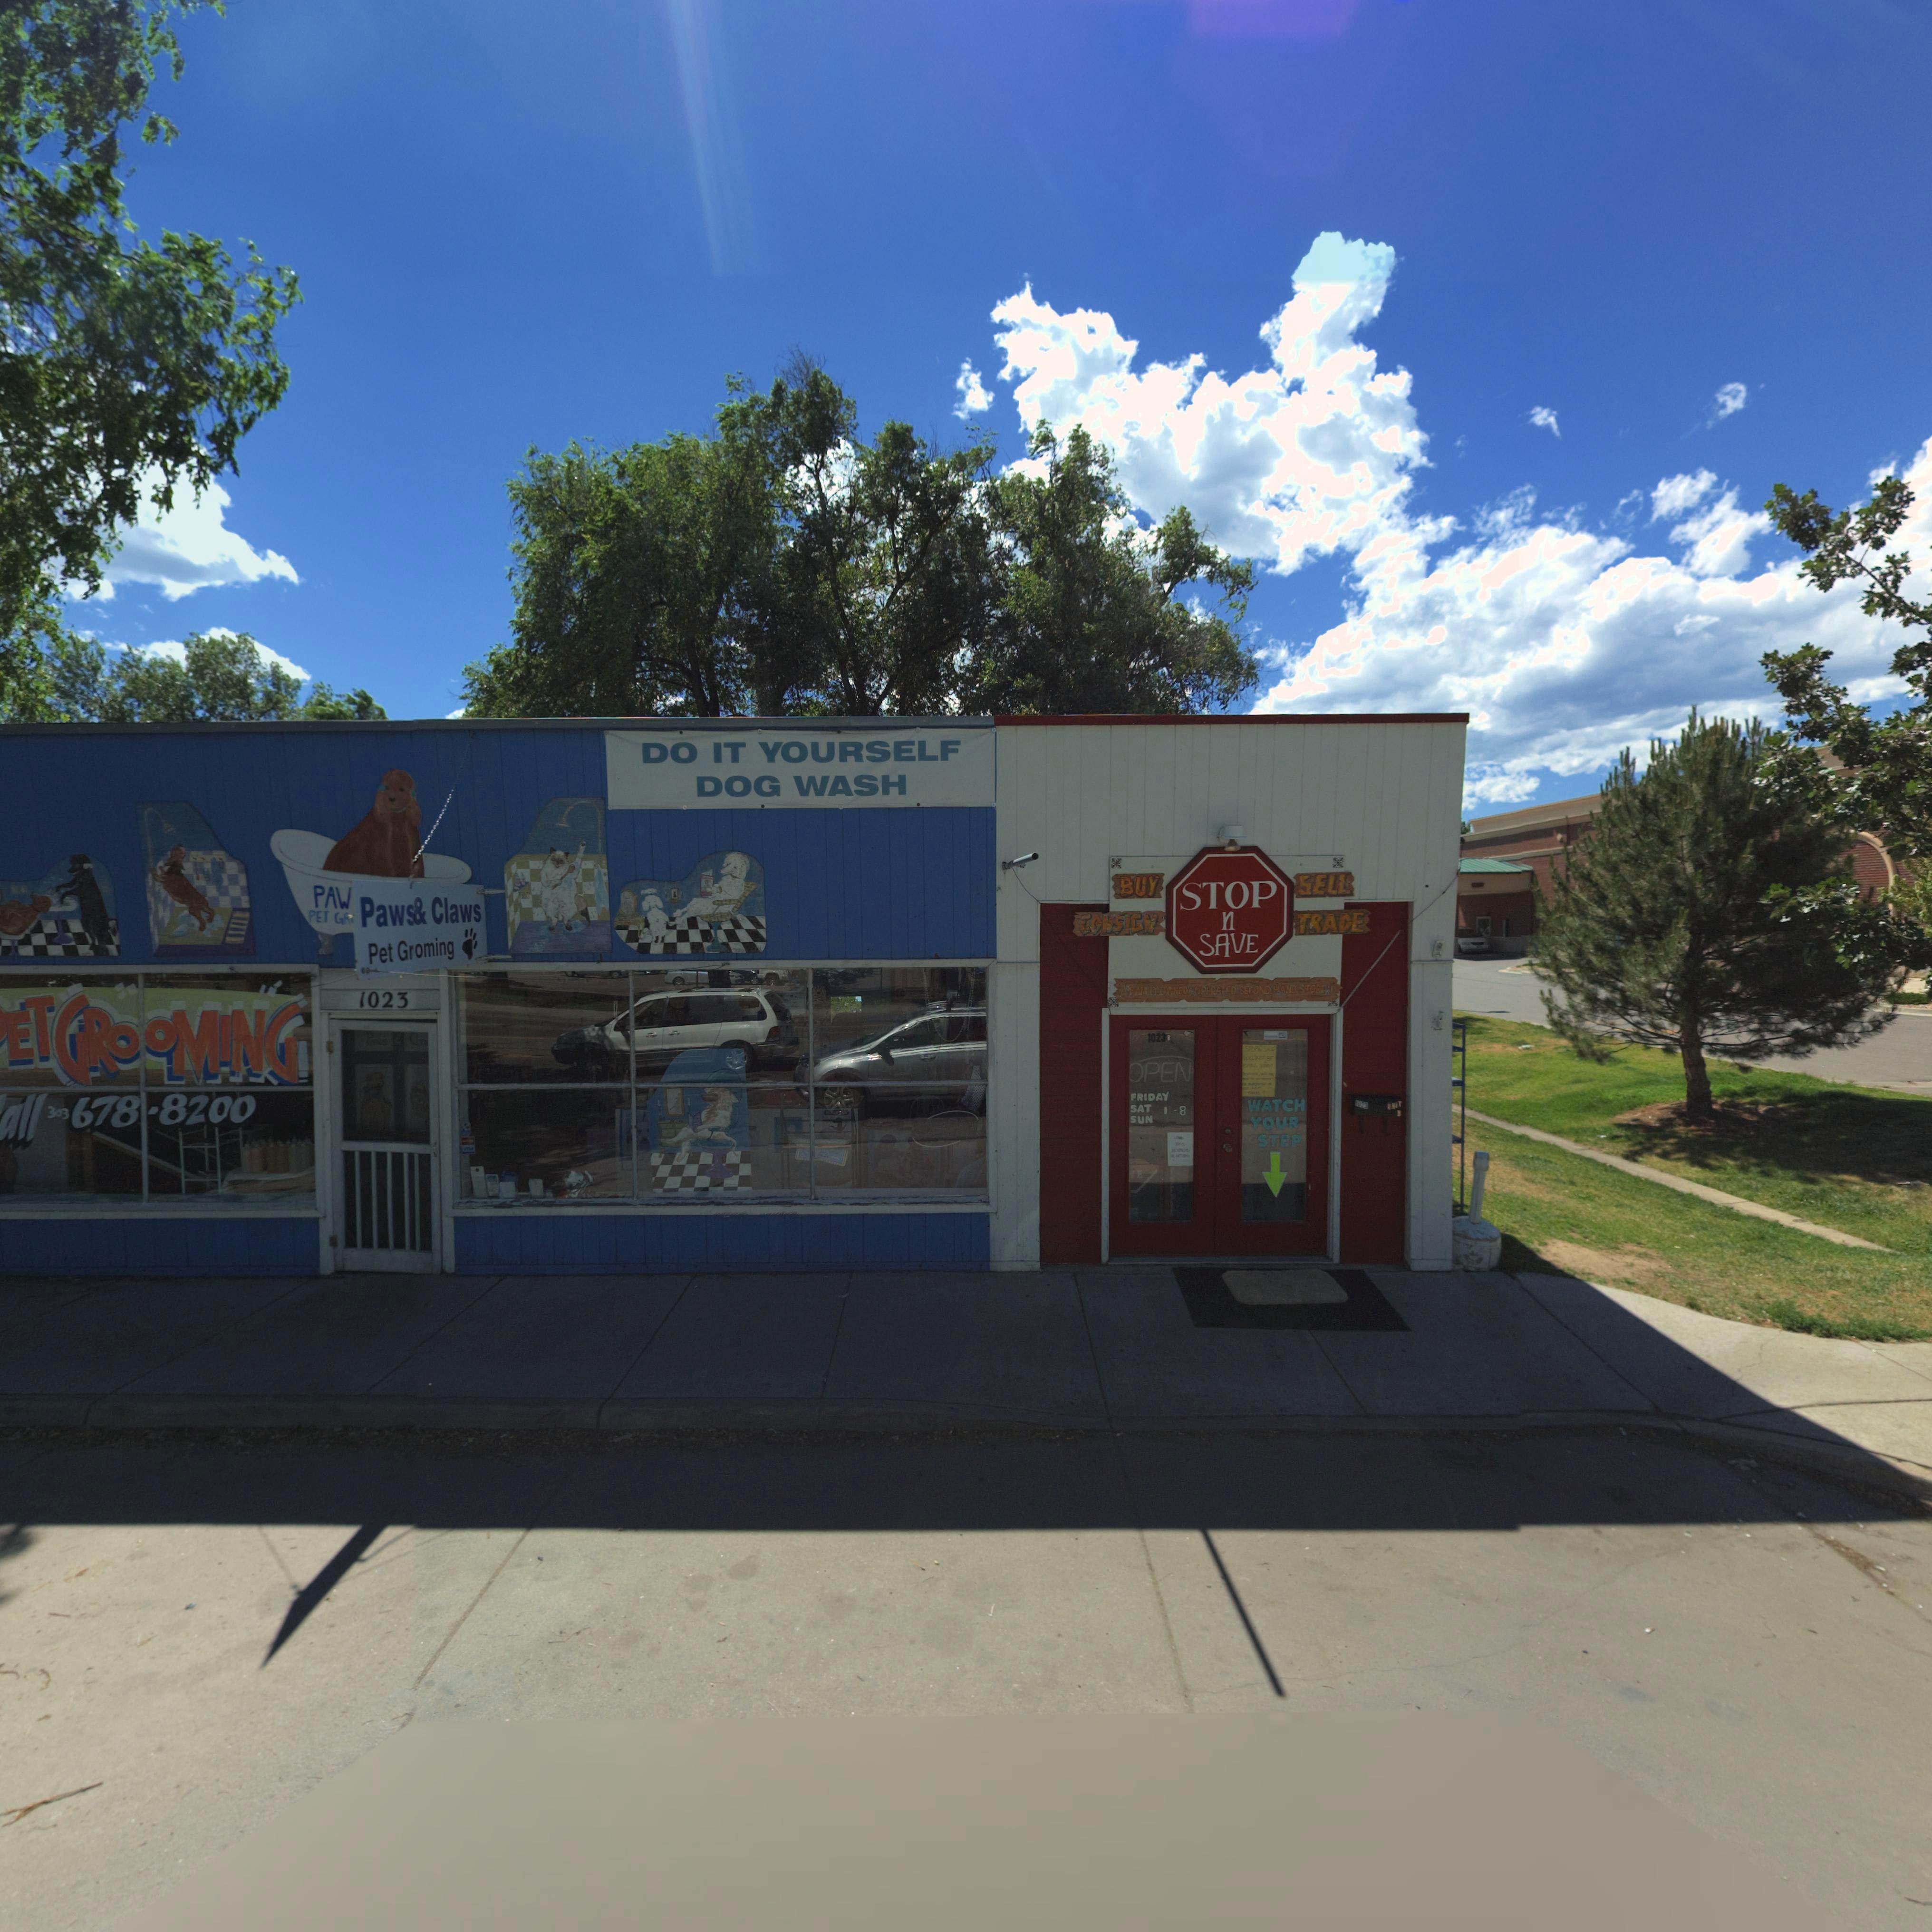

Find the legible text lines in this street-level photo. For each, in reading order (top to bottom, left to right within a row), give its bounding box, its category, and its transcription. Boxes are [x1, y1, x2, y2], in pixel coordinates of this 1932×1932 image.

[313, 884, 352, 910] BusinessName: PAW
[1179, 879, 1278, 911] BusinessName: STOP
[308, 909, 355, 926] None: PET G**
[359, 895, 482, 928] BusinessName: Paws& Claws
[1220, 910, 1236, 931] BusinessName: n
[1198, 932, 1259, 958] BusinessName: SAVE
[359, 991, 409, 1009] StreetNumber: 1023
[366, 1030, 388, 1047] BusinessName: P**s
[1147, 1032, 1166, 1043] StreetNumber: 1023
[1167, 1034, 1170, 1041] StreetNumber: B
[1355, 1099, 1367, 1109] StreetNumber: *02*
[1387, 1101, 1402, 1110] SecondaryUnitDesignator: **IT